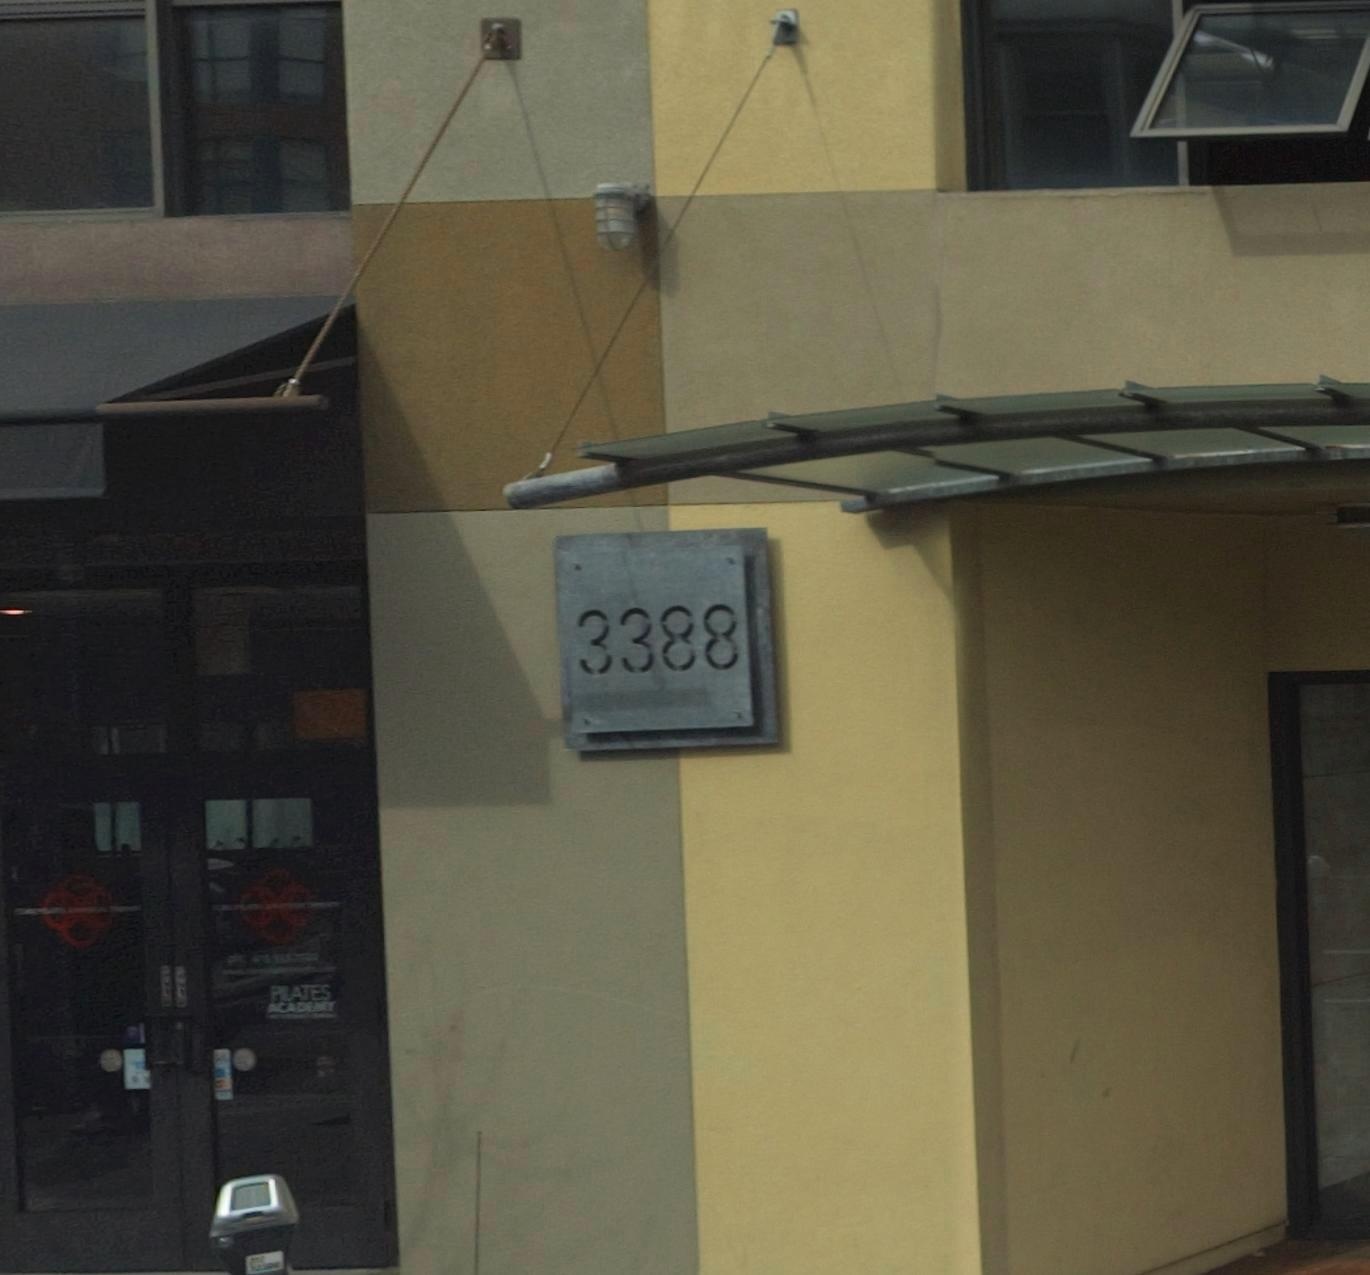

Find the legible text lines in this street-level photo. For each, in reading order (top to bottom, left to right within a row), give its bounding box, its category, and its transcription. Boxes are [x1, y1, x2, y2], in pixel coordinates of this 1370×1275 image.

[577, 601, 740, 678] StreetNumber: 3388
[269, 984, 332, 1003] None: PILATES
[266, 1000, 336, 1013] None: ACADEMY